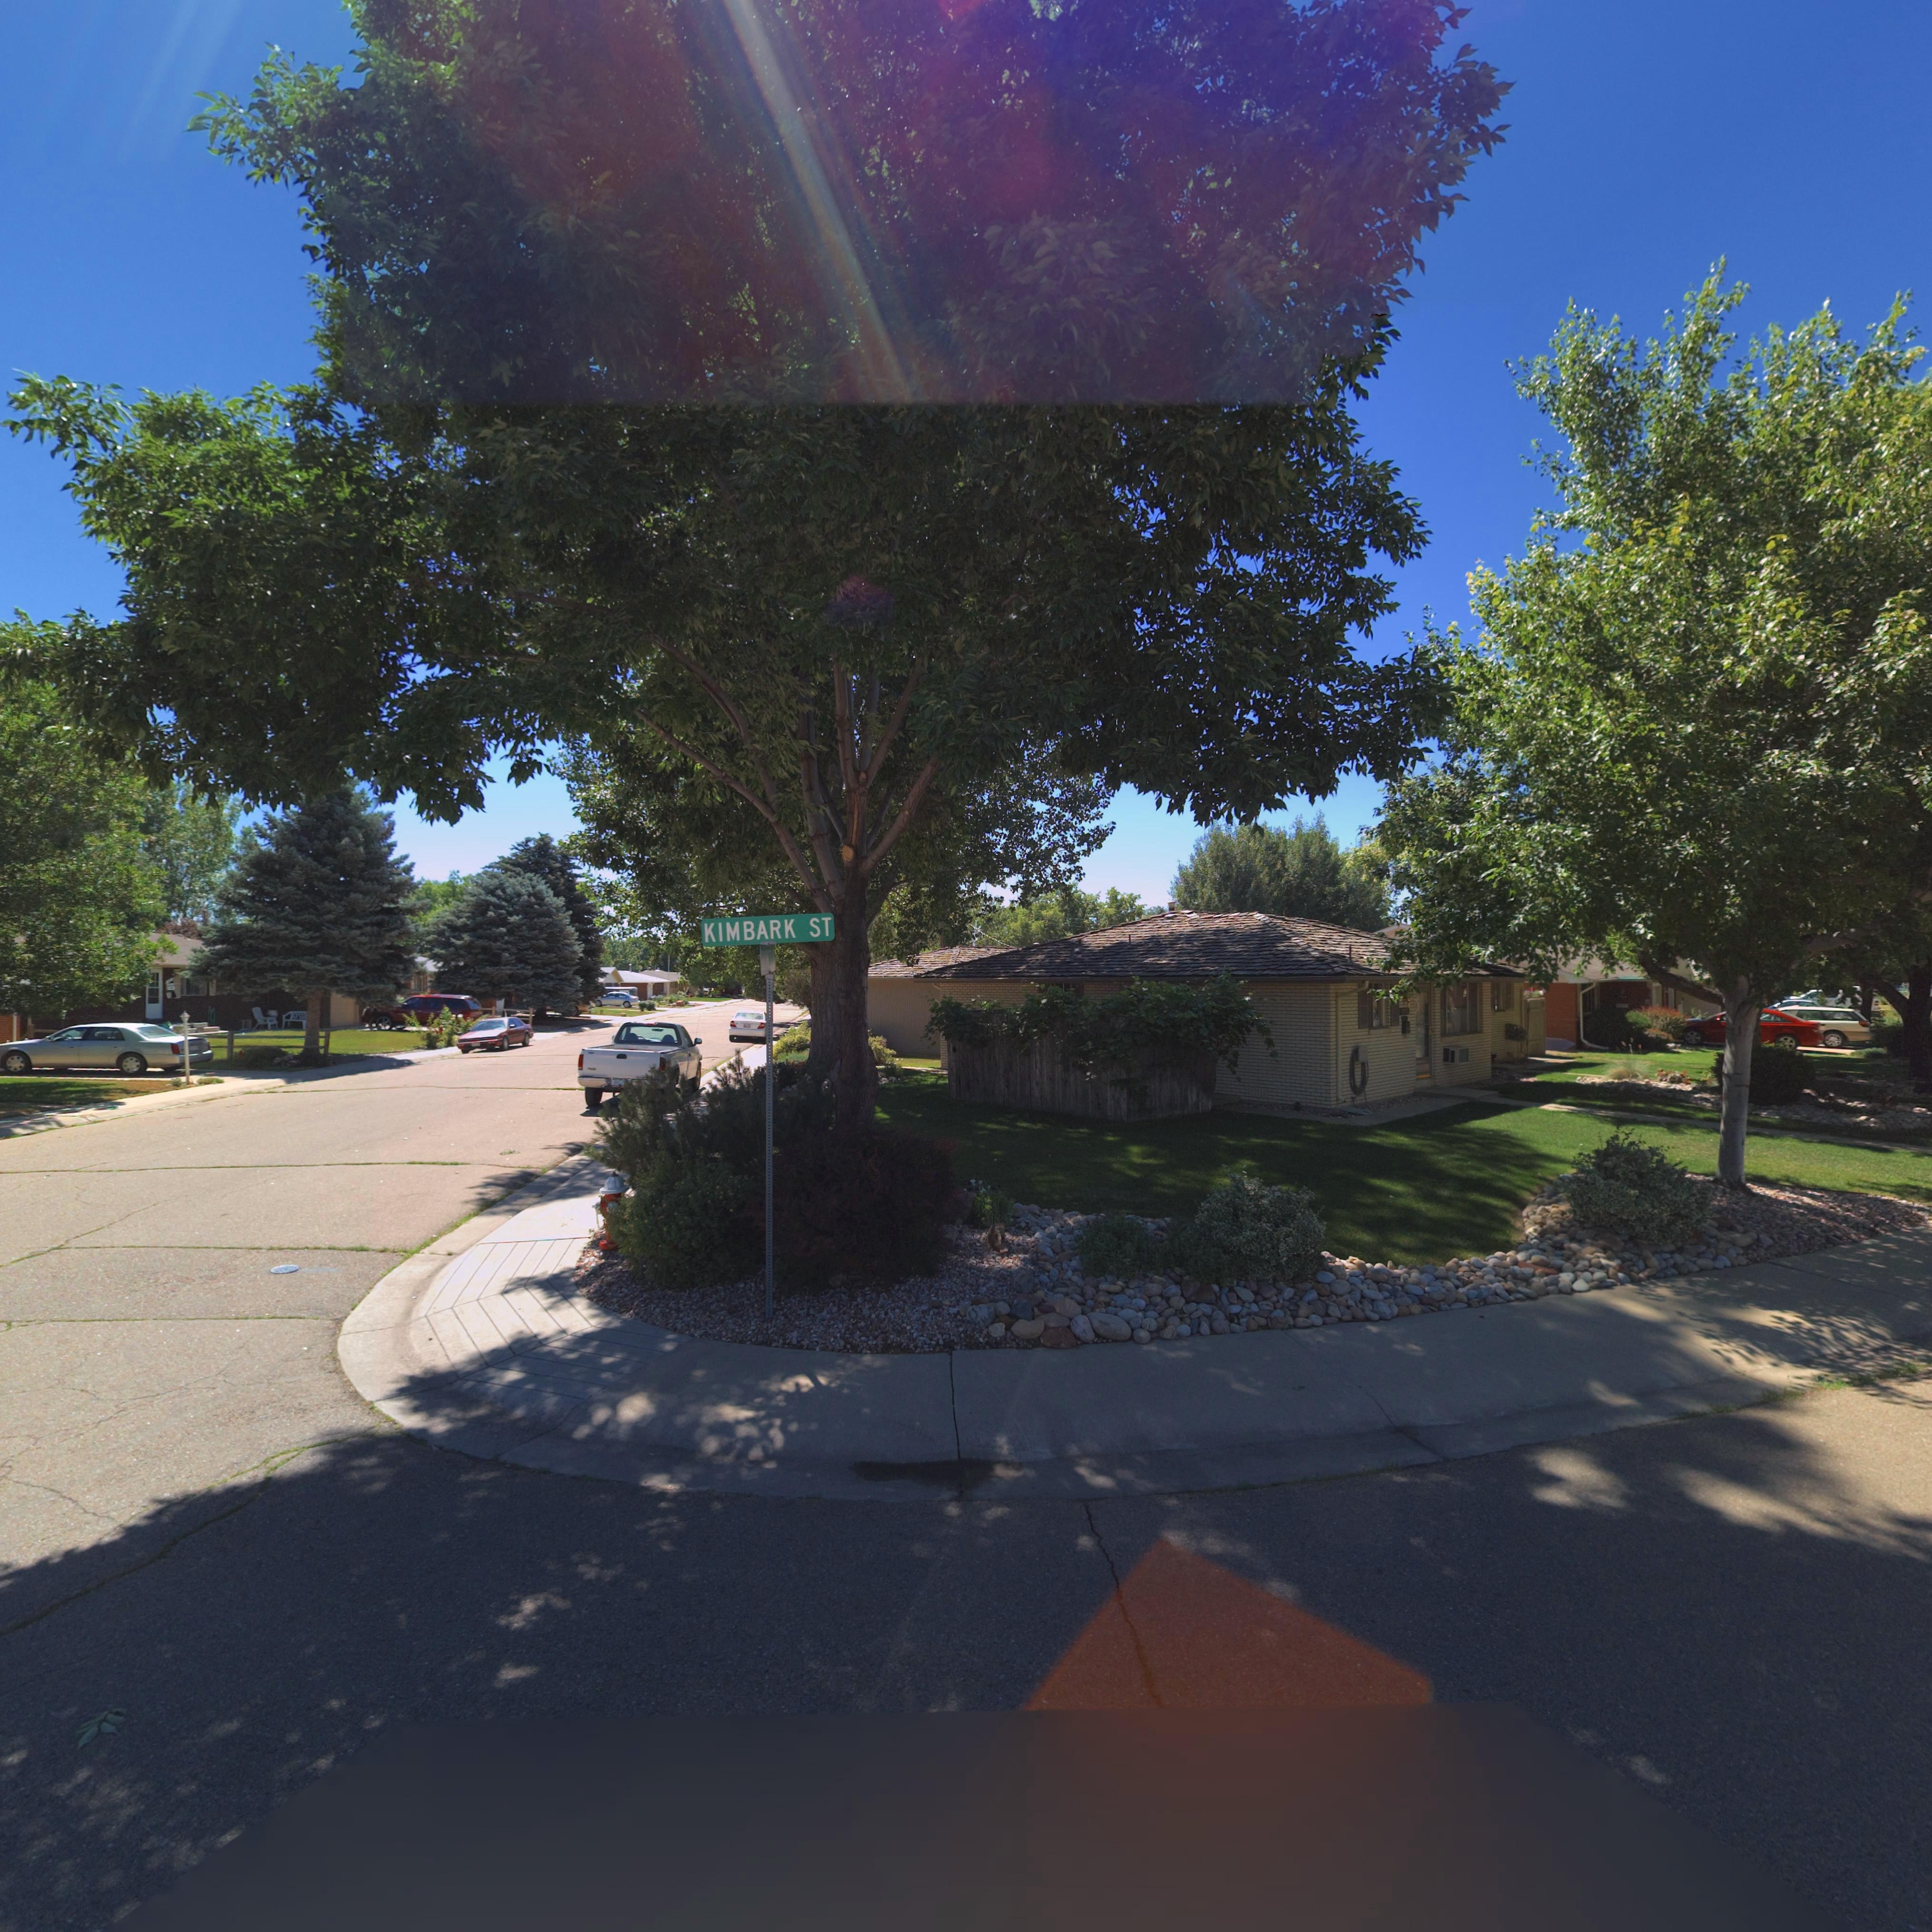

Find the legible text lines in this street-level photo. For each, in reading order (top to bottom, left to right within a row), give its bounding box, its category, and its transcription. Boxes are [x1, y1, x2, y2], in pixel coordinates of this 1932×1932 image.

[703, 917, 831, 943] StreetName: KIMBARK ST